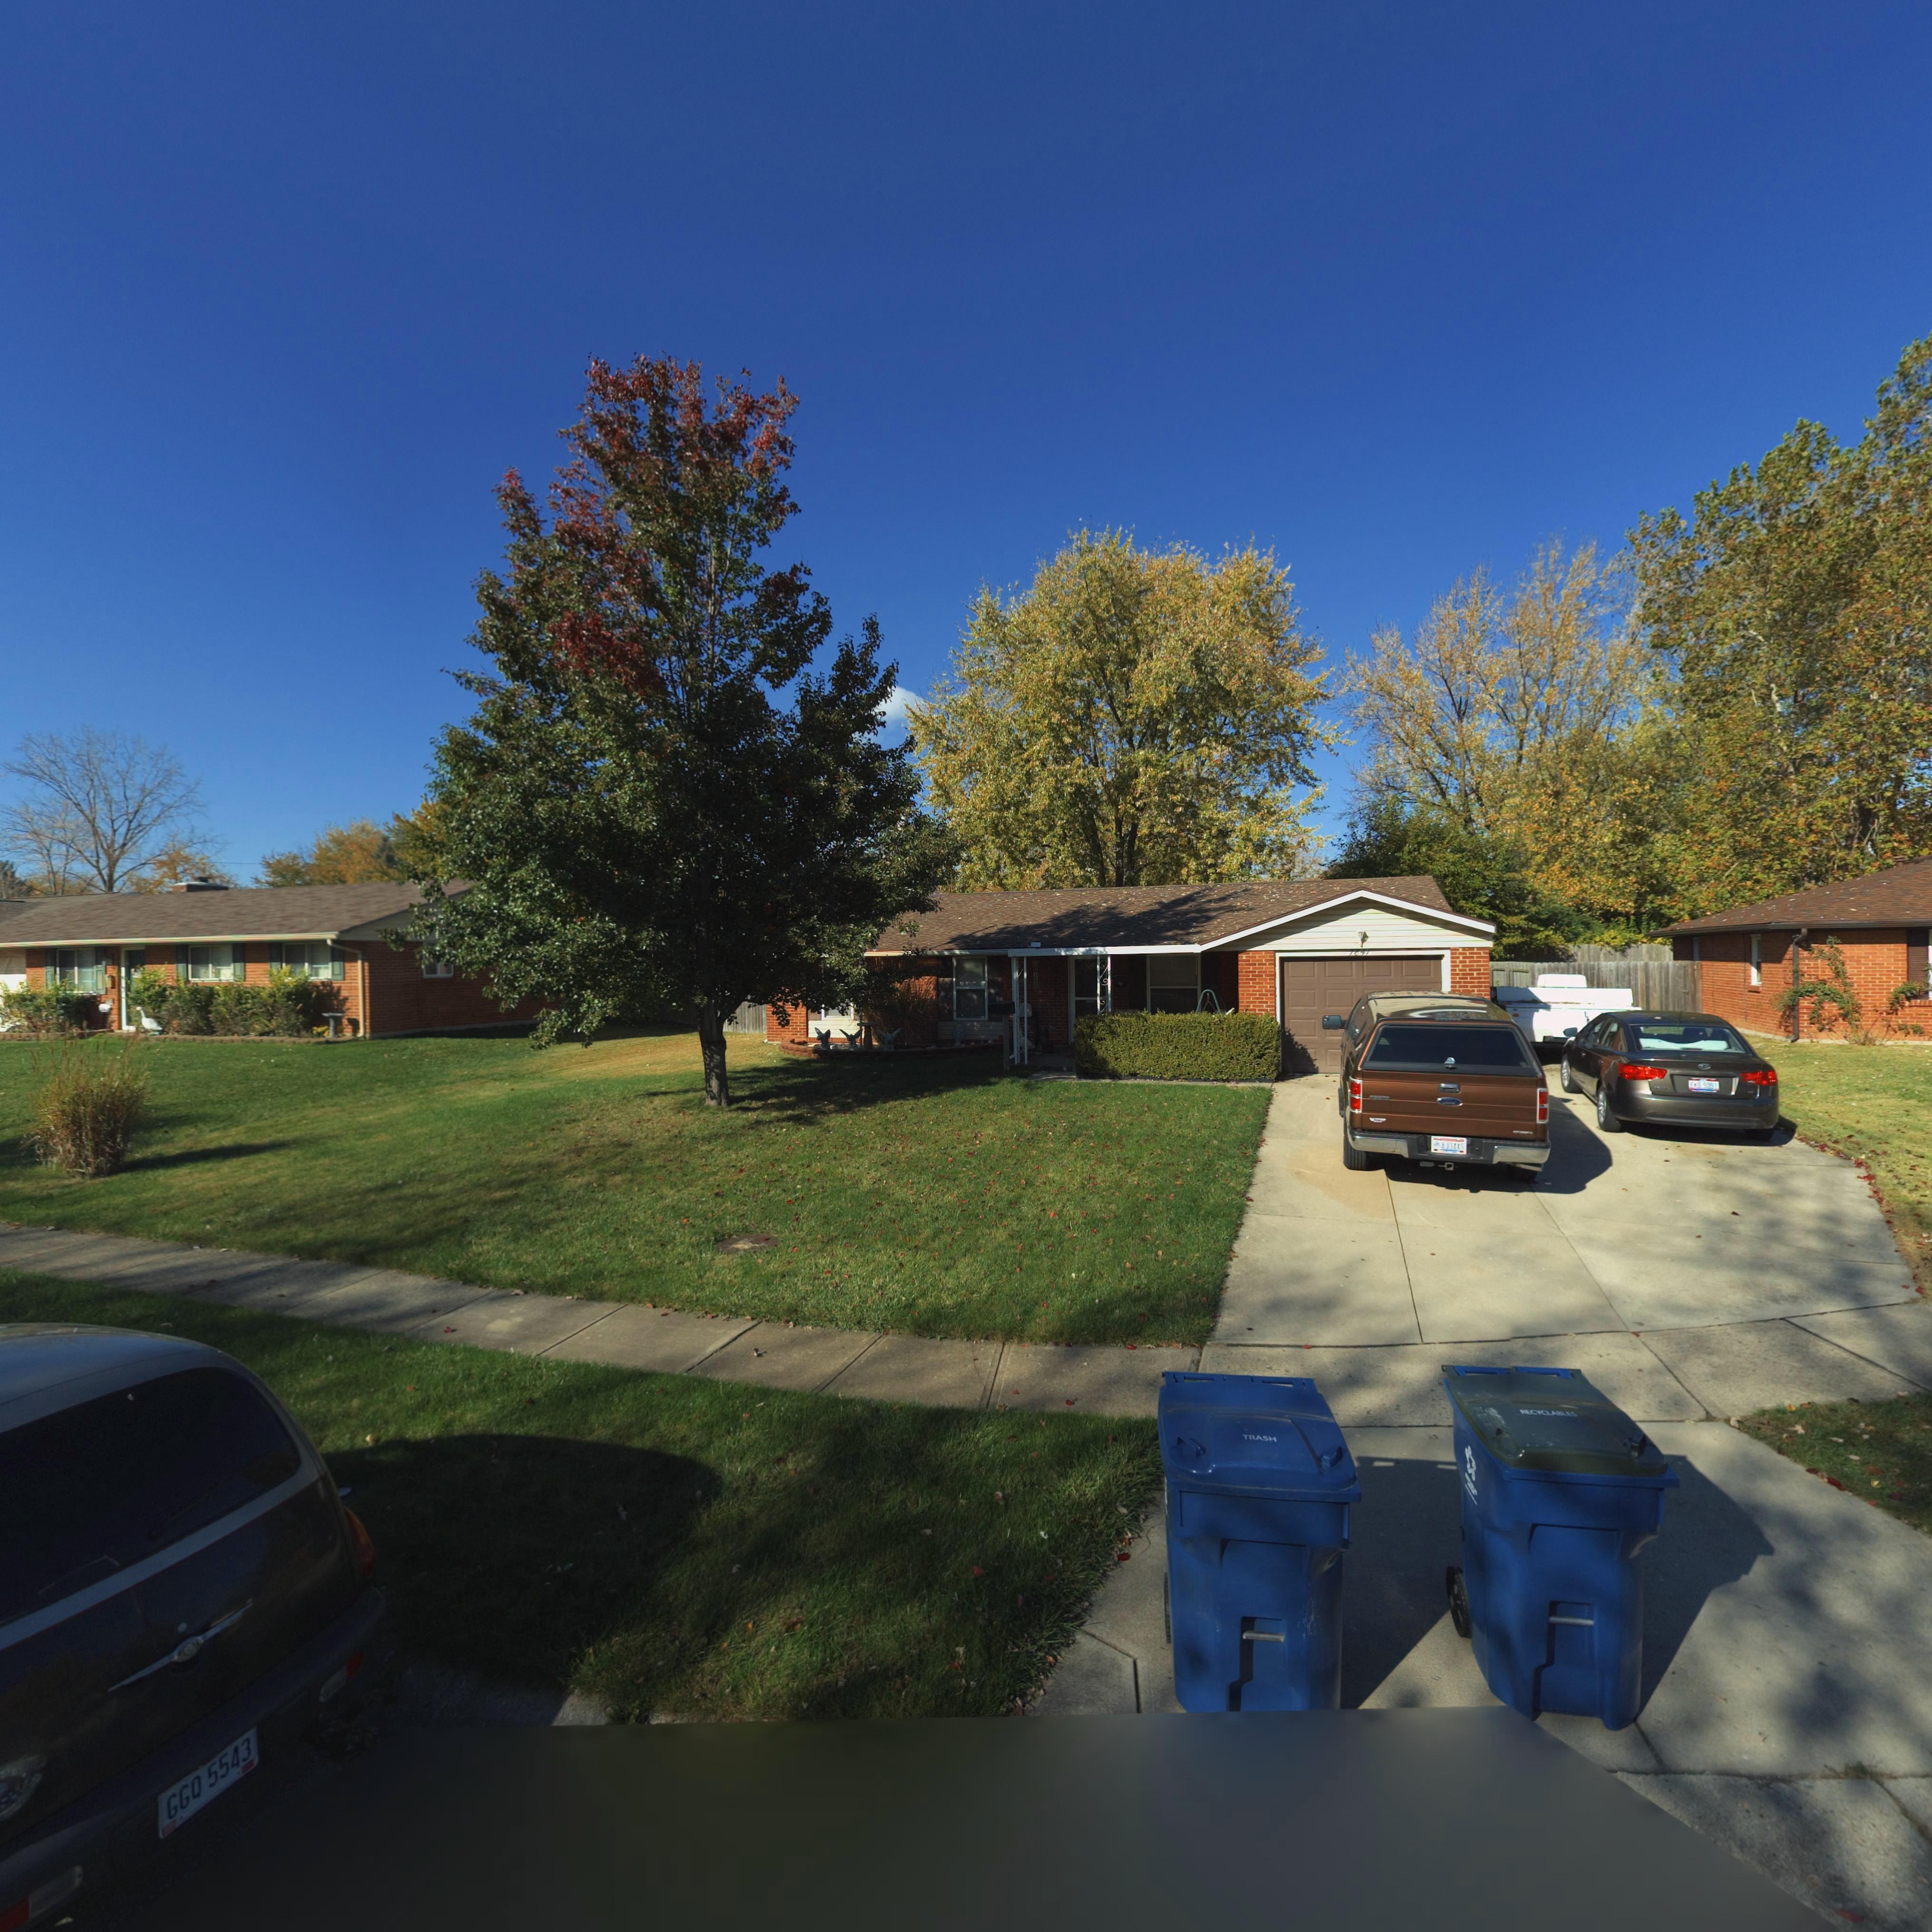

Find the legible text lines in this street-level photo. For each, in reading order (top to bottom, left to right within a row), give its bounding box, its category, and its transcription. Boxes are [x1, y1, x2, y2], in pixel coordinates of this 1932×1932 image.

[1348, 948, 1372, 956] StreetNumber: 7841